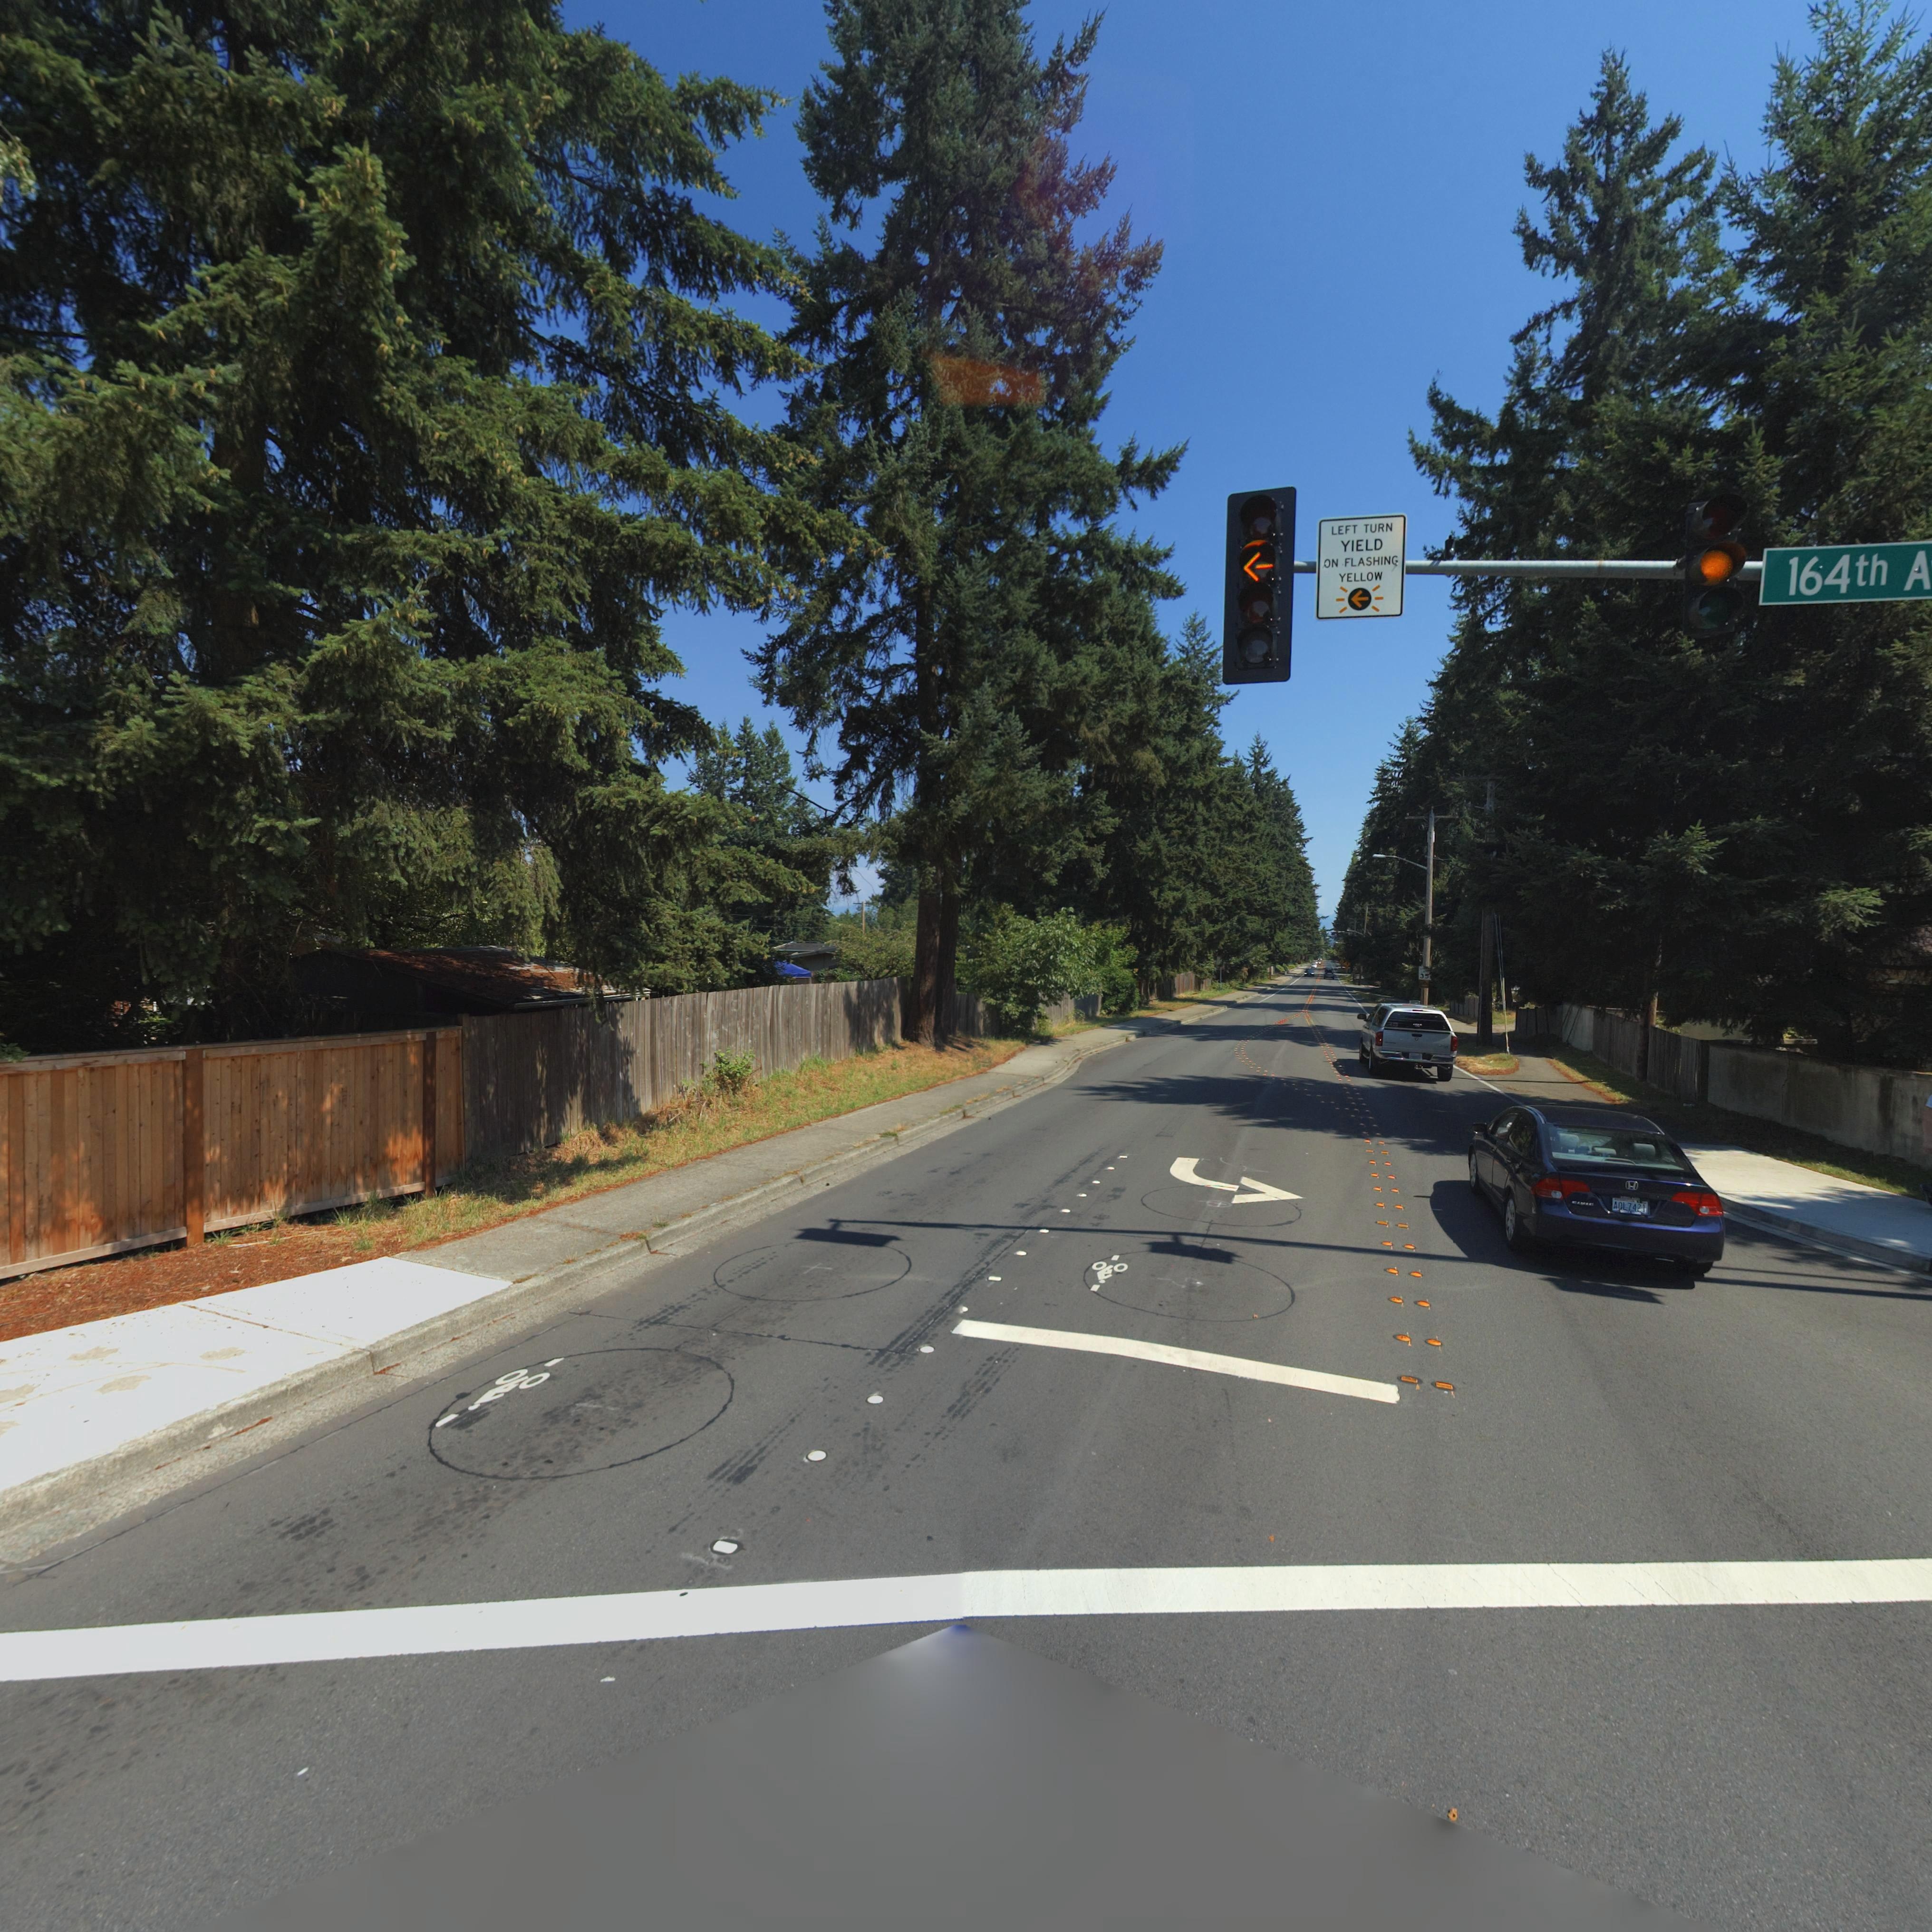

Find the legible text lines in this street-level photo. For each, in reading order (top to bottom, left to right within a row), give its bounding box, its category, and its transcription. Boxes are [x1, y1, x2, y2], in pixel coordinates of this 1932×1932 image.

[1788, 550, 1931, 595] StreetName: 164th A